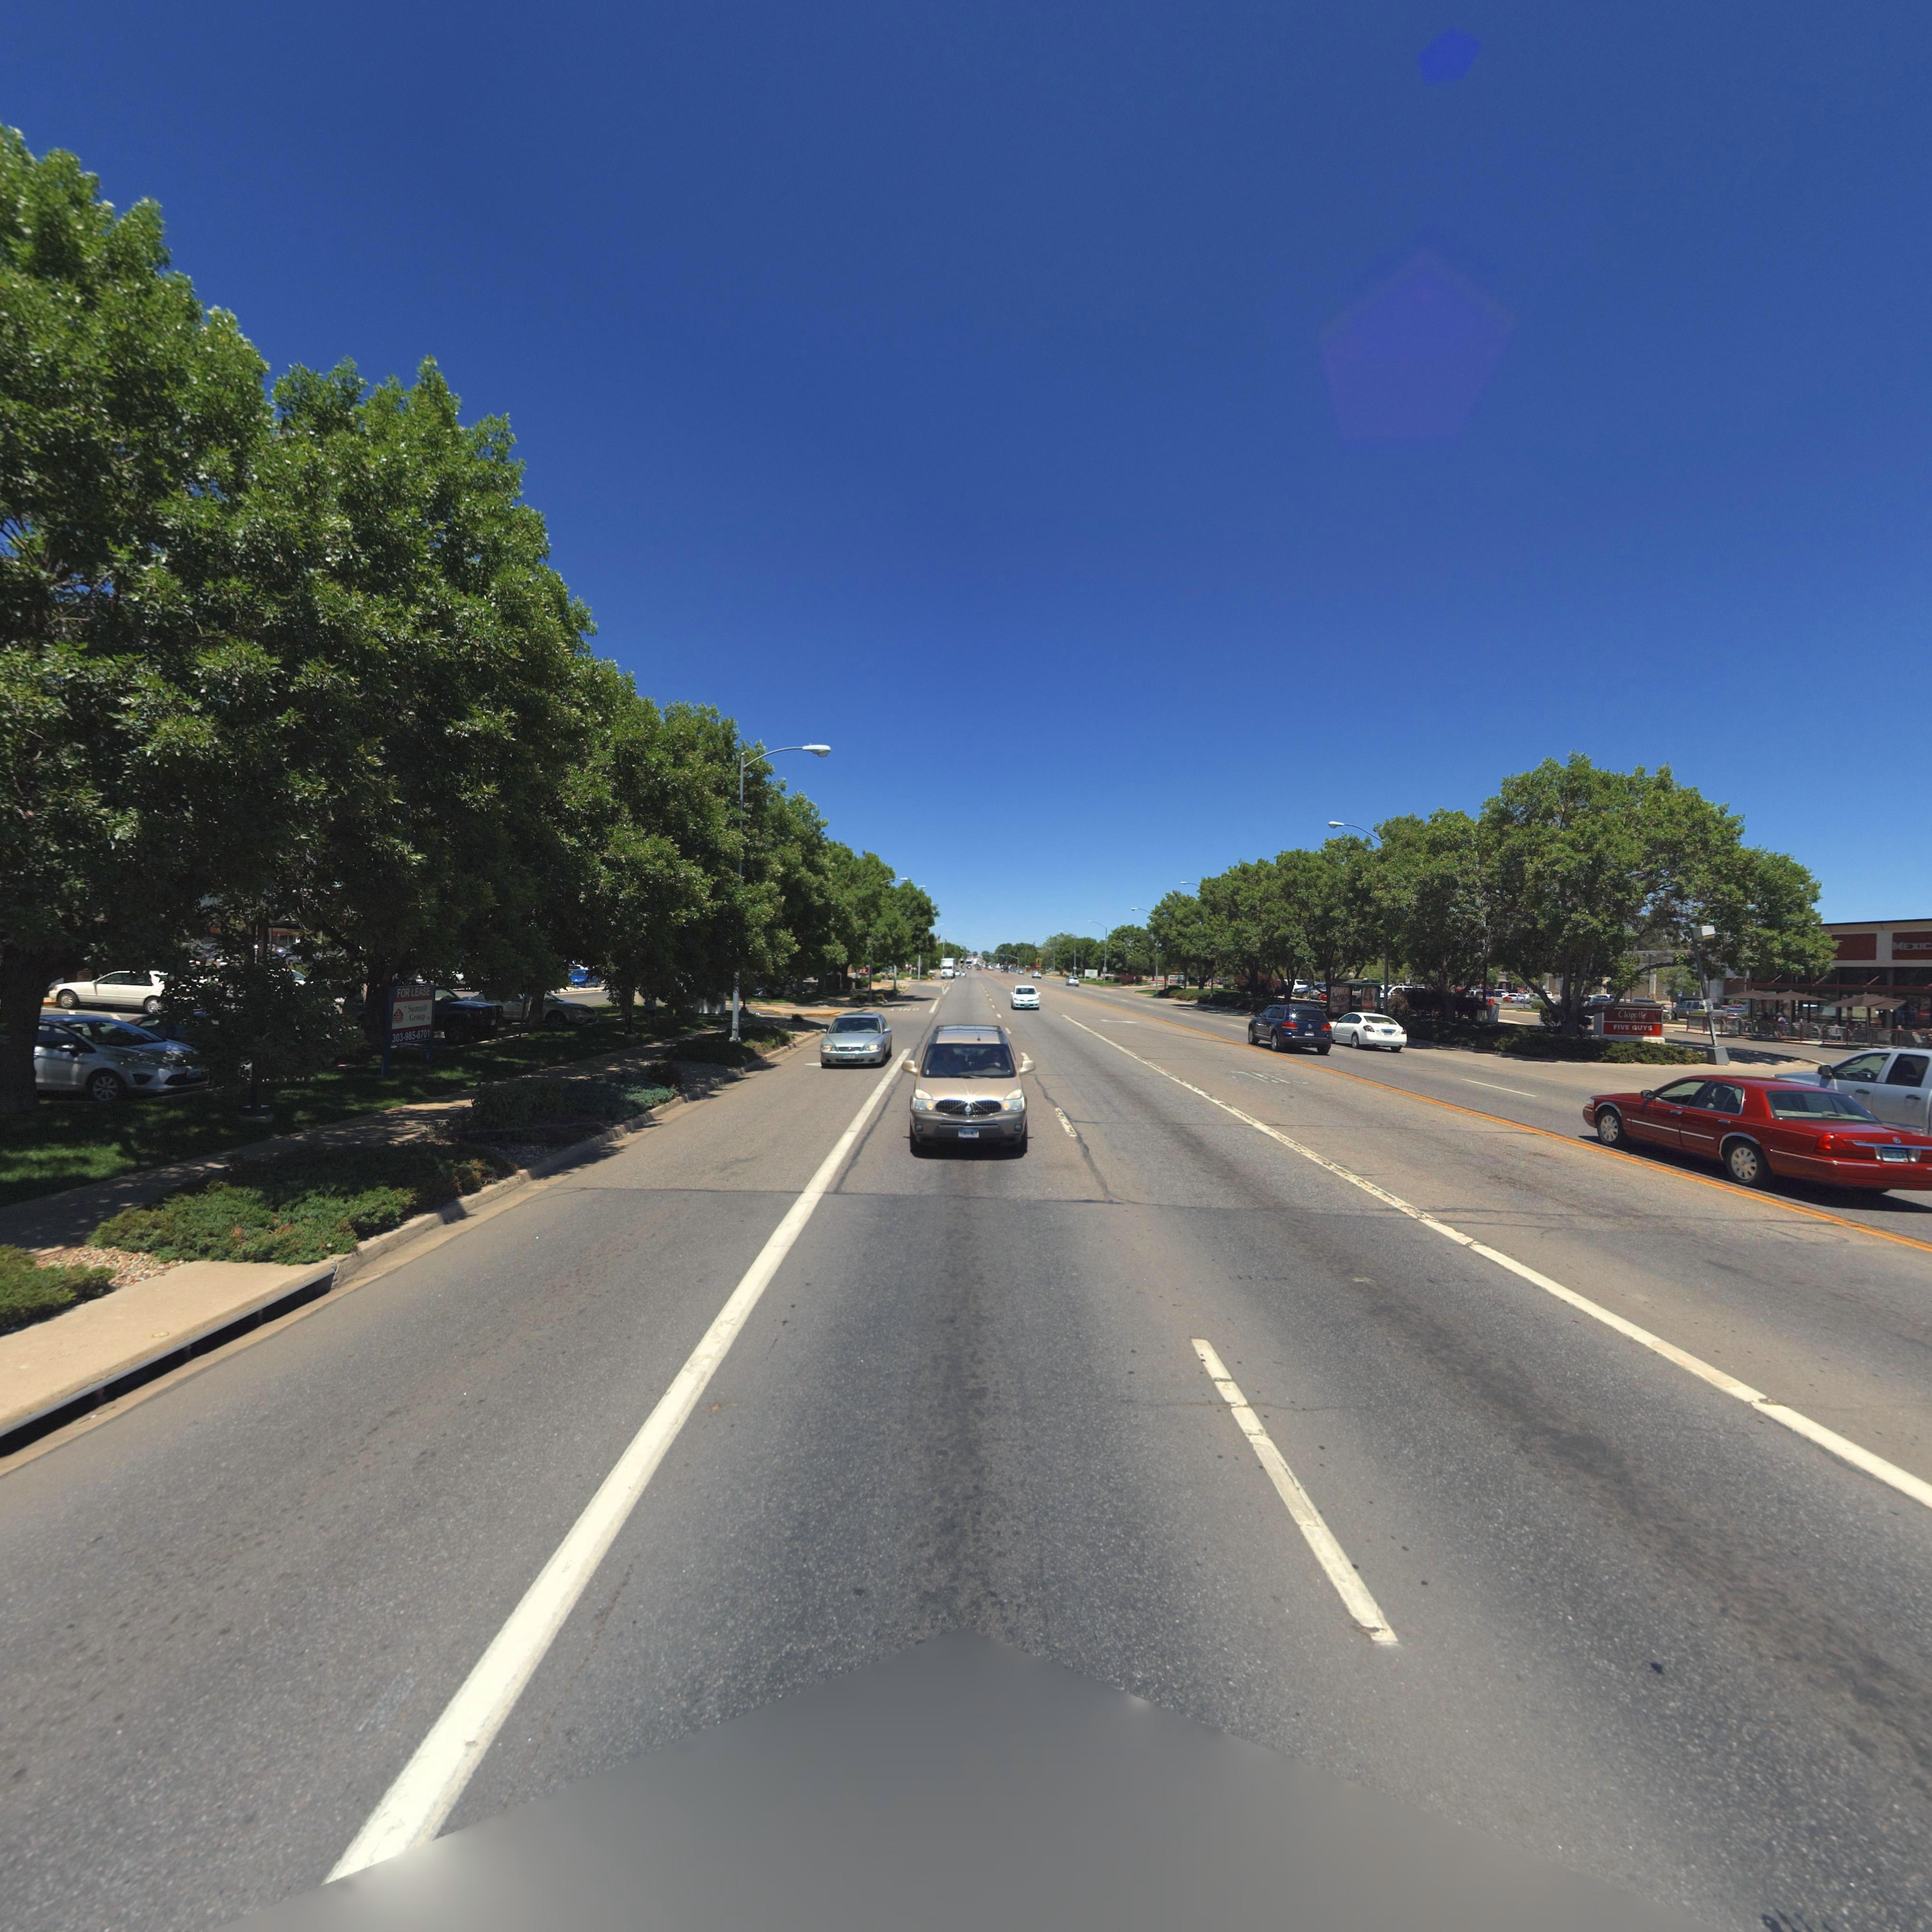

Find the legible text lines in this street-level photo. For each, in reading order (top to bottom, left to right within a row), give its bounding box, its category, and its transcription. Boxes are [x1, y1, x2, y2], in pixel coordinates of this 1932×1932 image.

[858, 966, 868, 974] BusinessName: **ck
[1617, 1009, 1647, 1020] BusinessName: Chipotle
[1613, 1024, 1652, 1031] BusinessName: FIVE GUYS